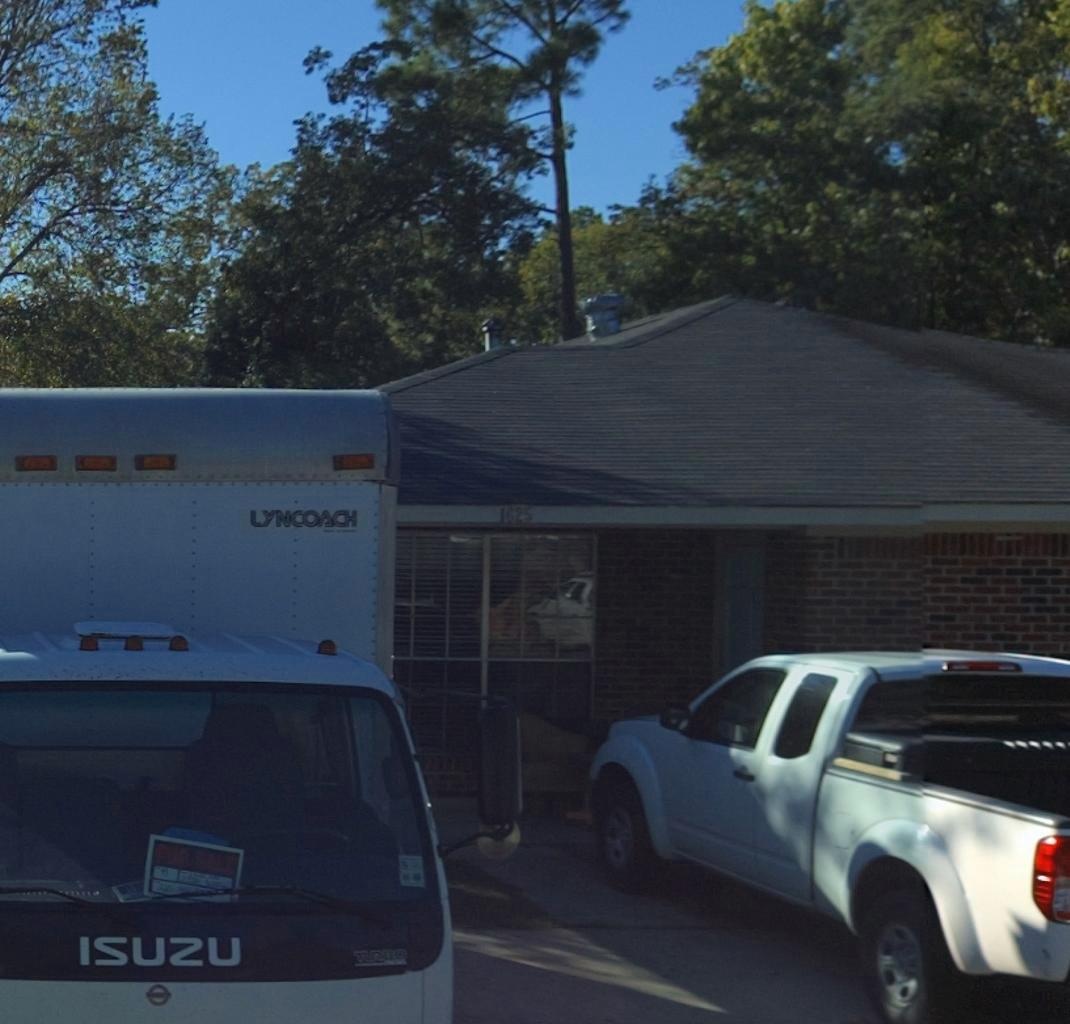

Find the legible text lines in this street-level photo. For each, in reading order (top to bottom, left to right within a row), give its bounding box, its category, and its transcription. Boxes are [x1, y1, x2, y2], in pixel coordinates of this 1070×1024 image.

[248, 508, 359, 528] None: LYNCOACH
[498, 505, 533, 525] StreetNumber: 1625
[77, 935, 243, 968] None: ISUZU